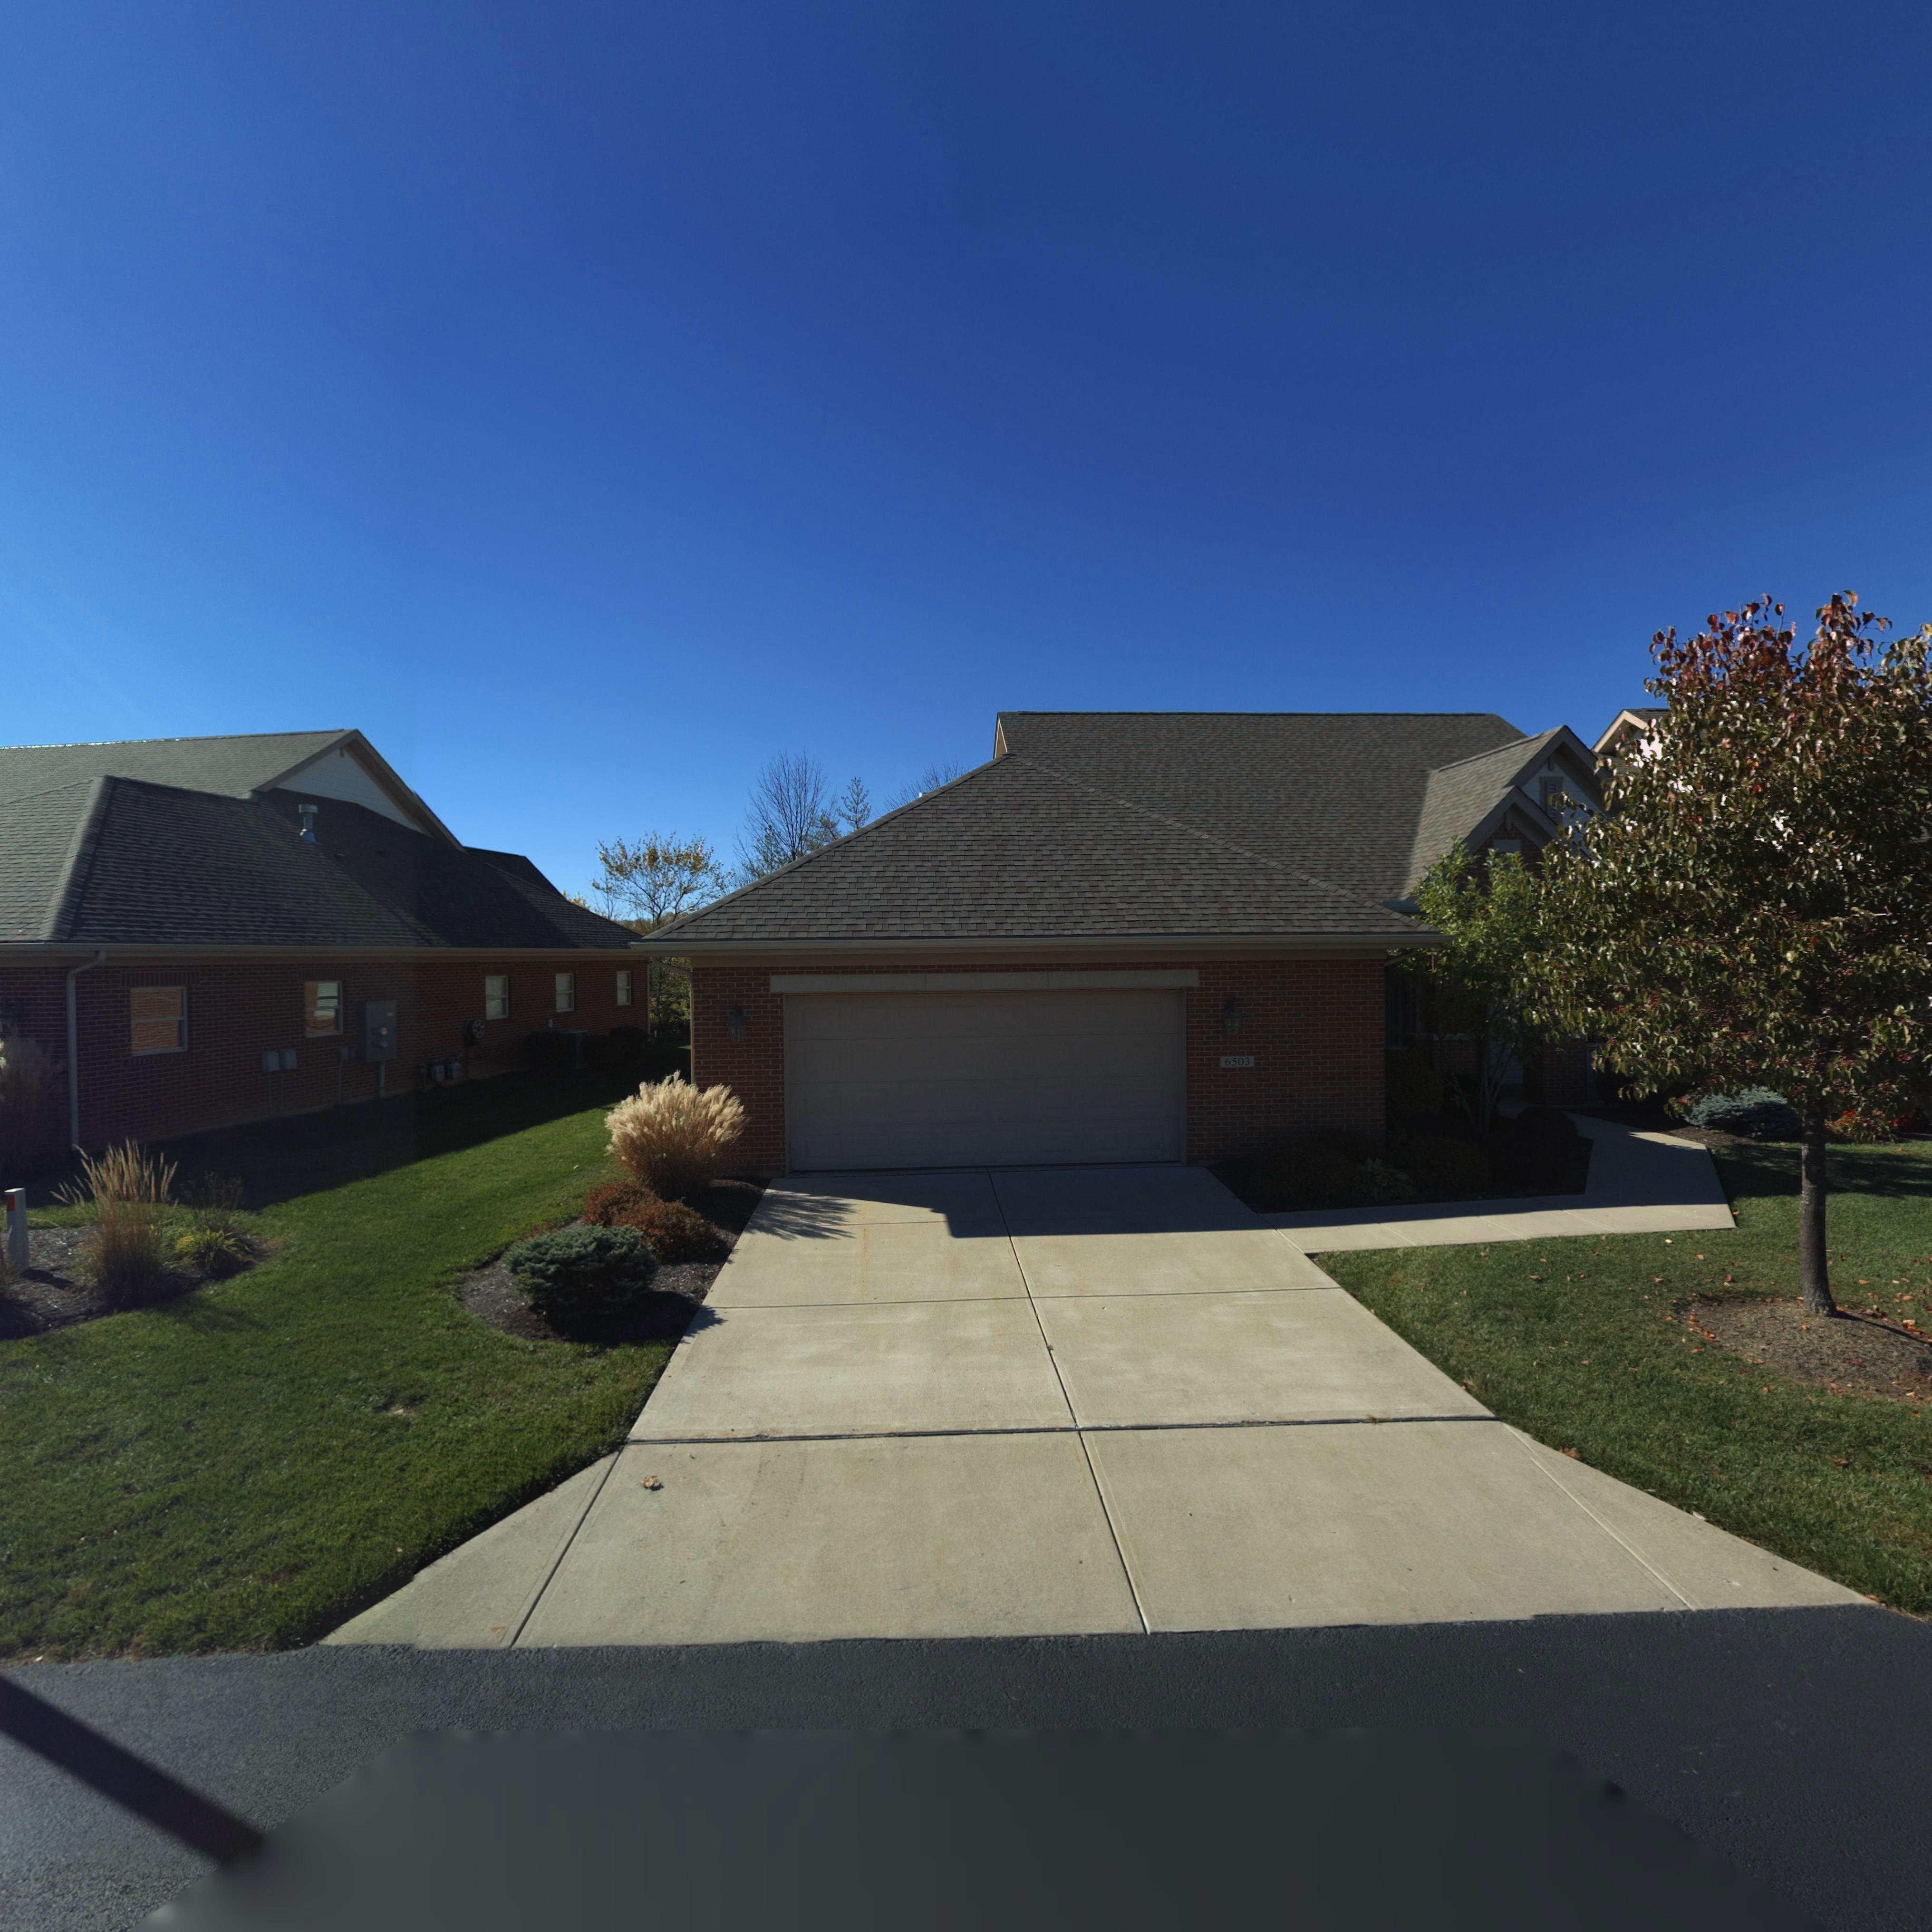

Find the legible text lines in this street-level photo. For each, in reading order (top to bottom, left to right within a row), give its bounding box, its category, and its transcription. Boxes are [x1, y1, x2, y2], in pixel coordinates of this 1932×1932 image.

[1224, 1056, 1251, 1067] StreetNumber: 6503